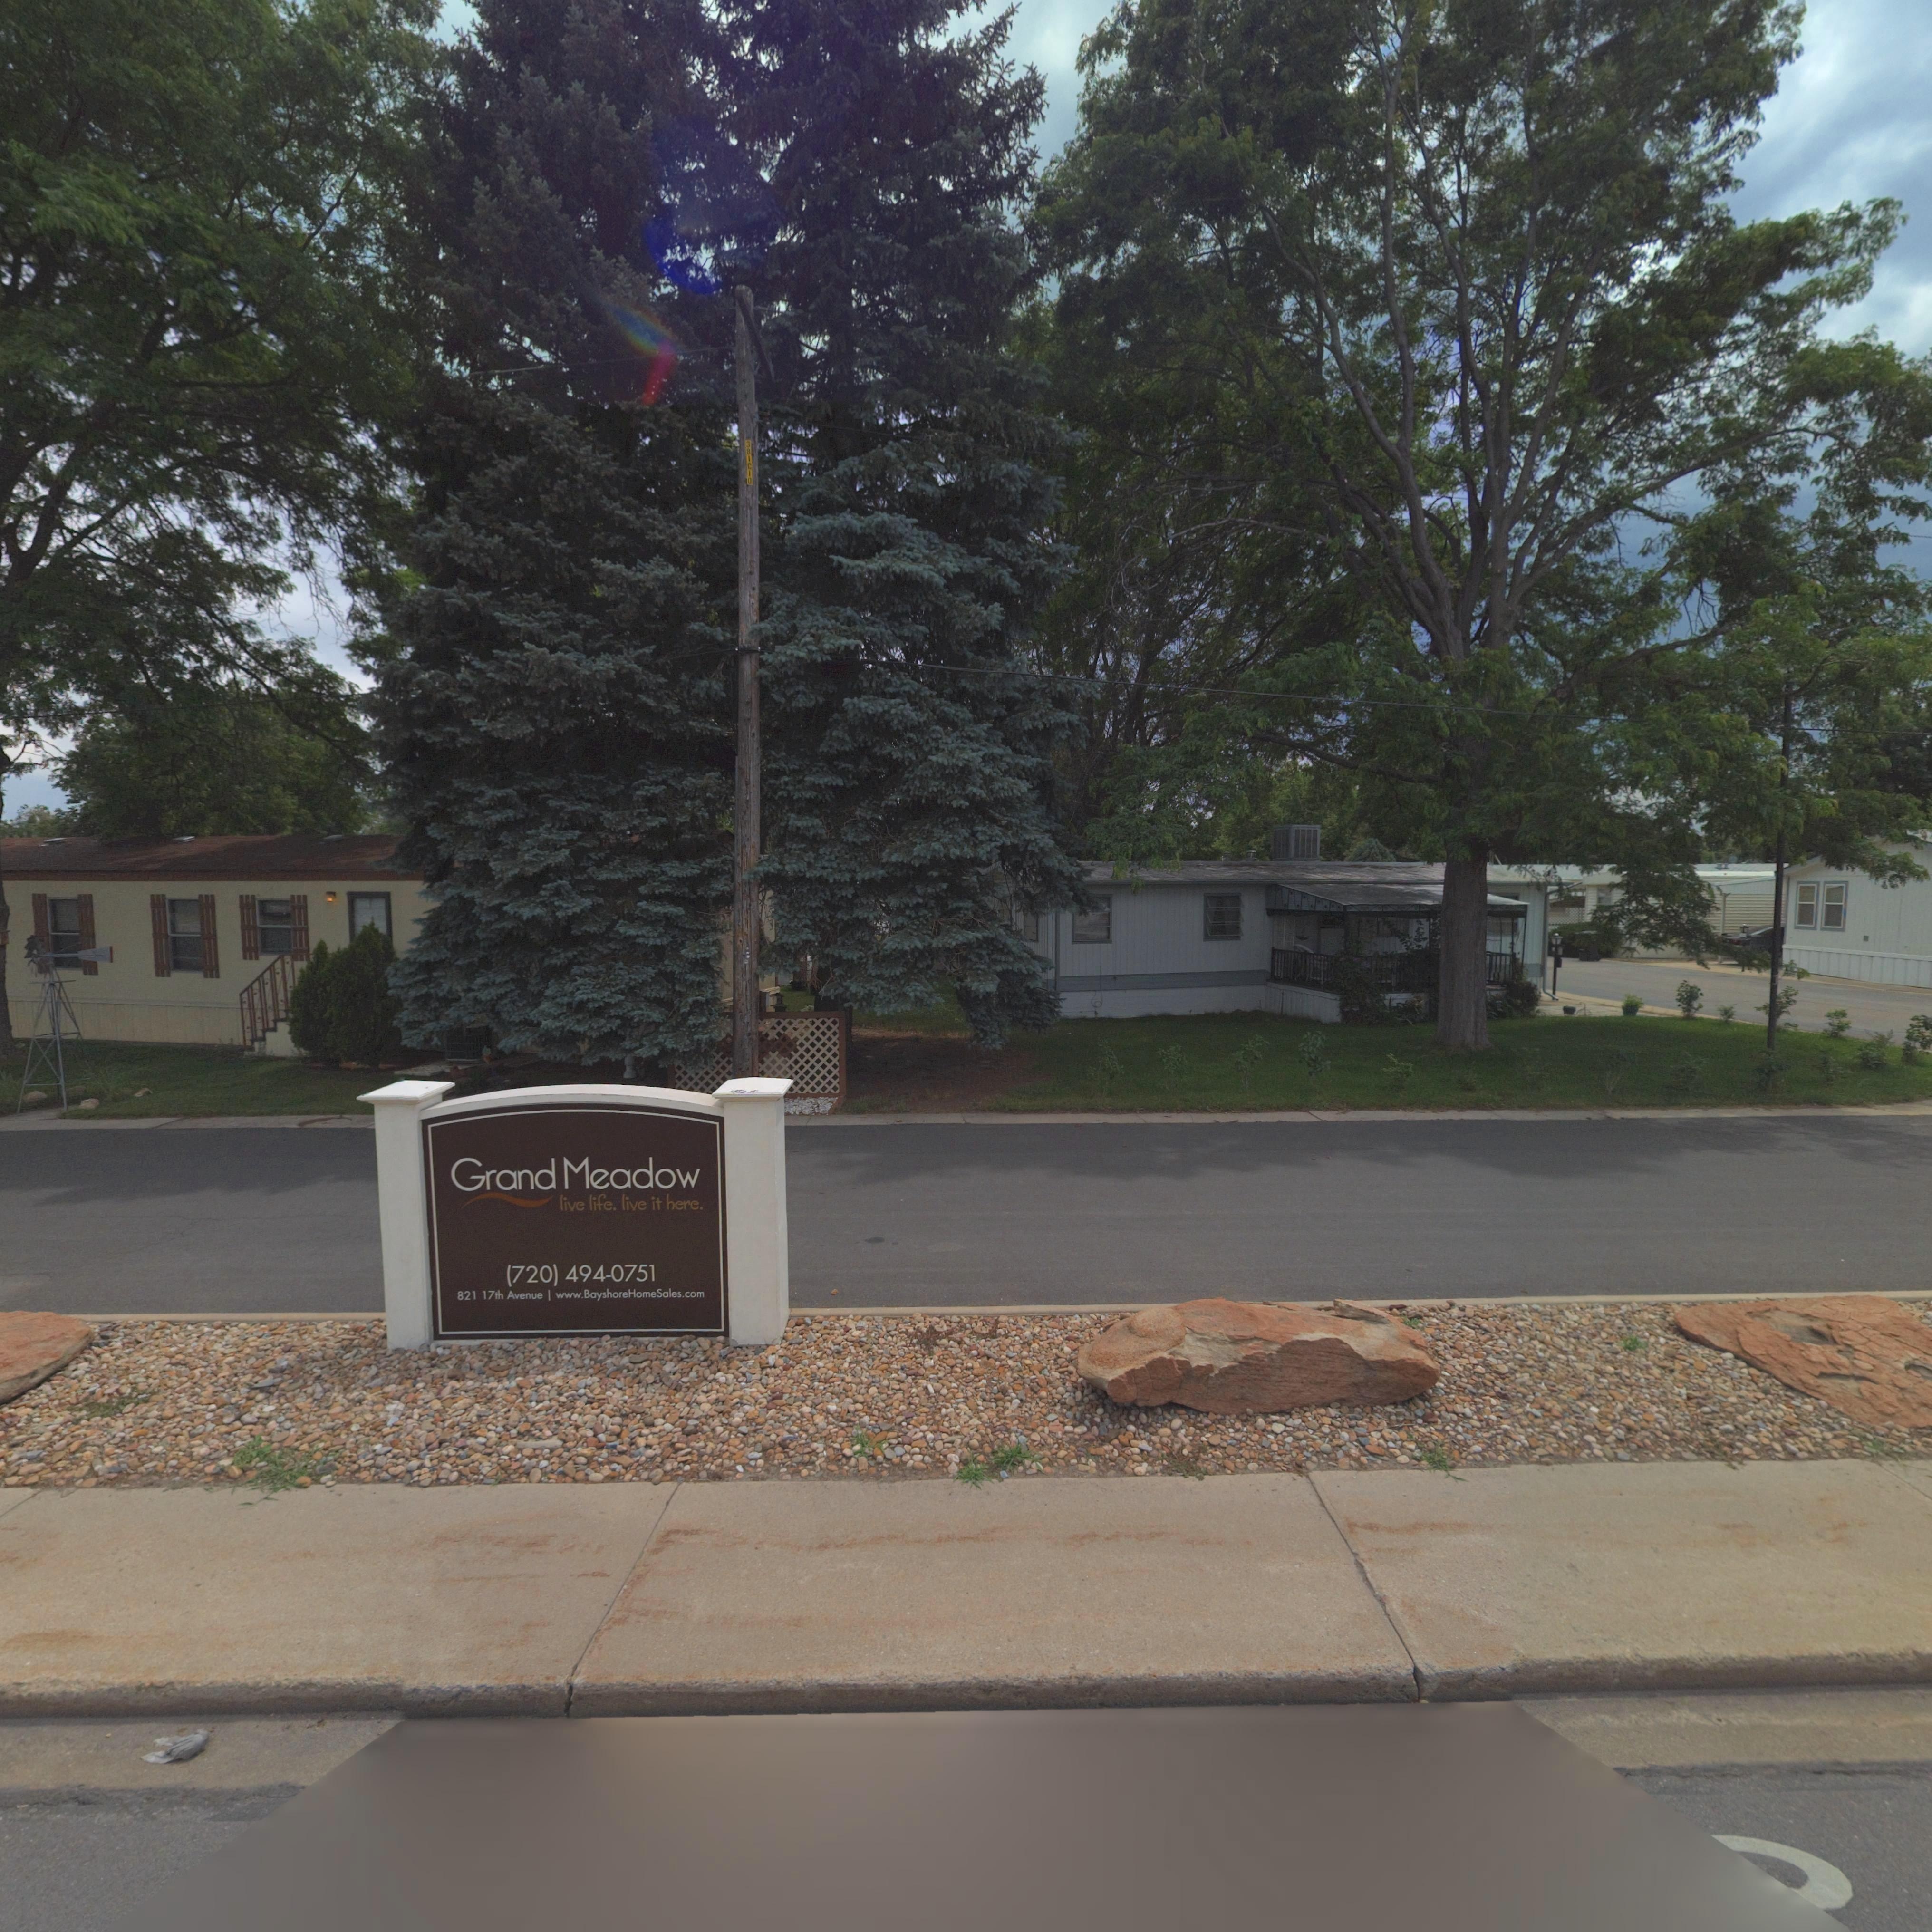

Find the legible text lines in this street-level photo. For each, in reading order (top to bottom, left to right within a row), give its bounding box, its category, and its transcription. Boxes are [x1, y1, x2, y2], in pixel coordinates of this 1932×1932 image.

[449, 1155, 702, 1193] BusinessName: Grand Meadow
[456, 1289, 476, 1302] StreetNumber: 821
[482, 1289, 544, 1300] StreetName: 17th Avenue